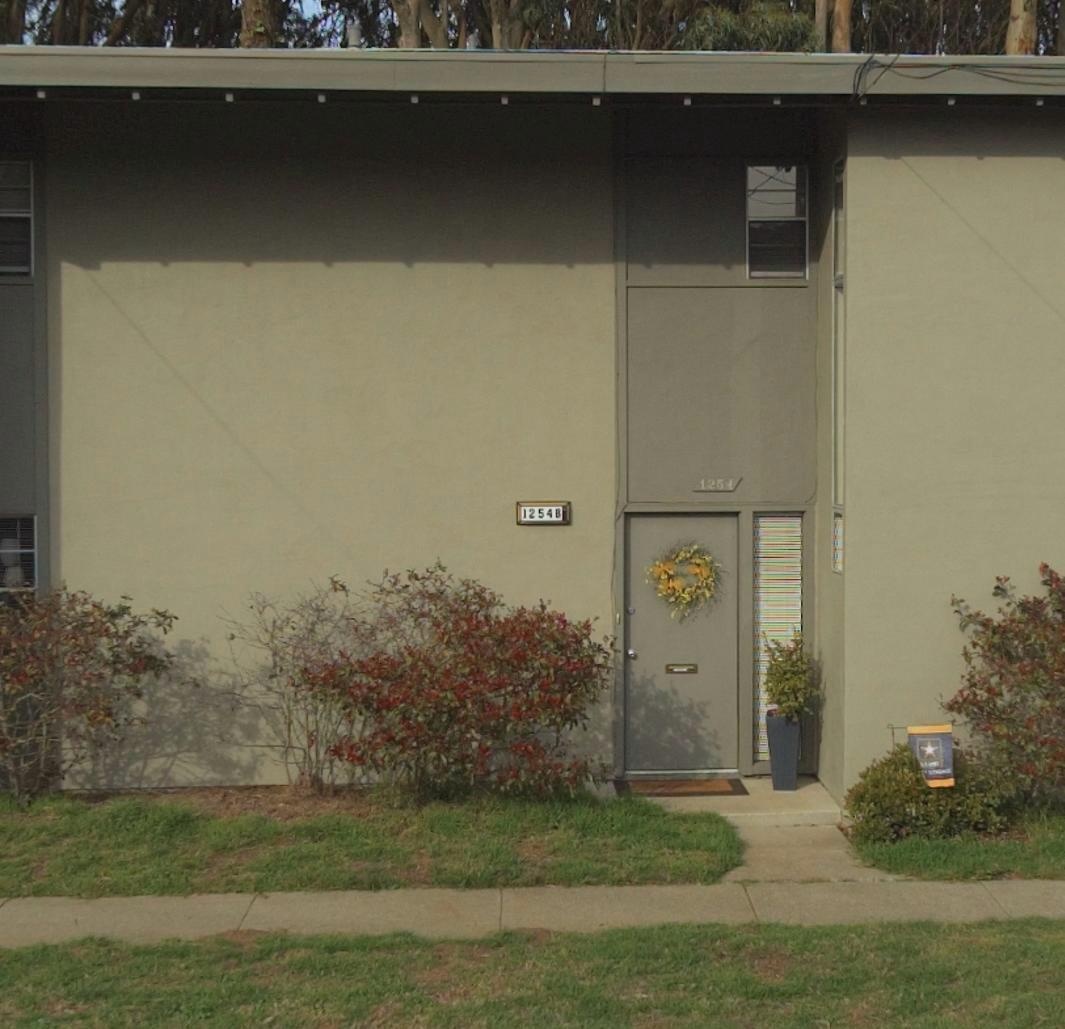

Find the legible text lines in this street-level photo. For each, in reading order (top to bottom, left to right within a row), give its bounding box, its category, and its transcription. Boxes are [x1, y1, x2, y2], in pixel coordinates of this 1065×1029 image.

[699, 477, 734, 490] StreetNumber: 1254
[522, 507, 563, 521] StreetNumber: 1254B